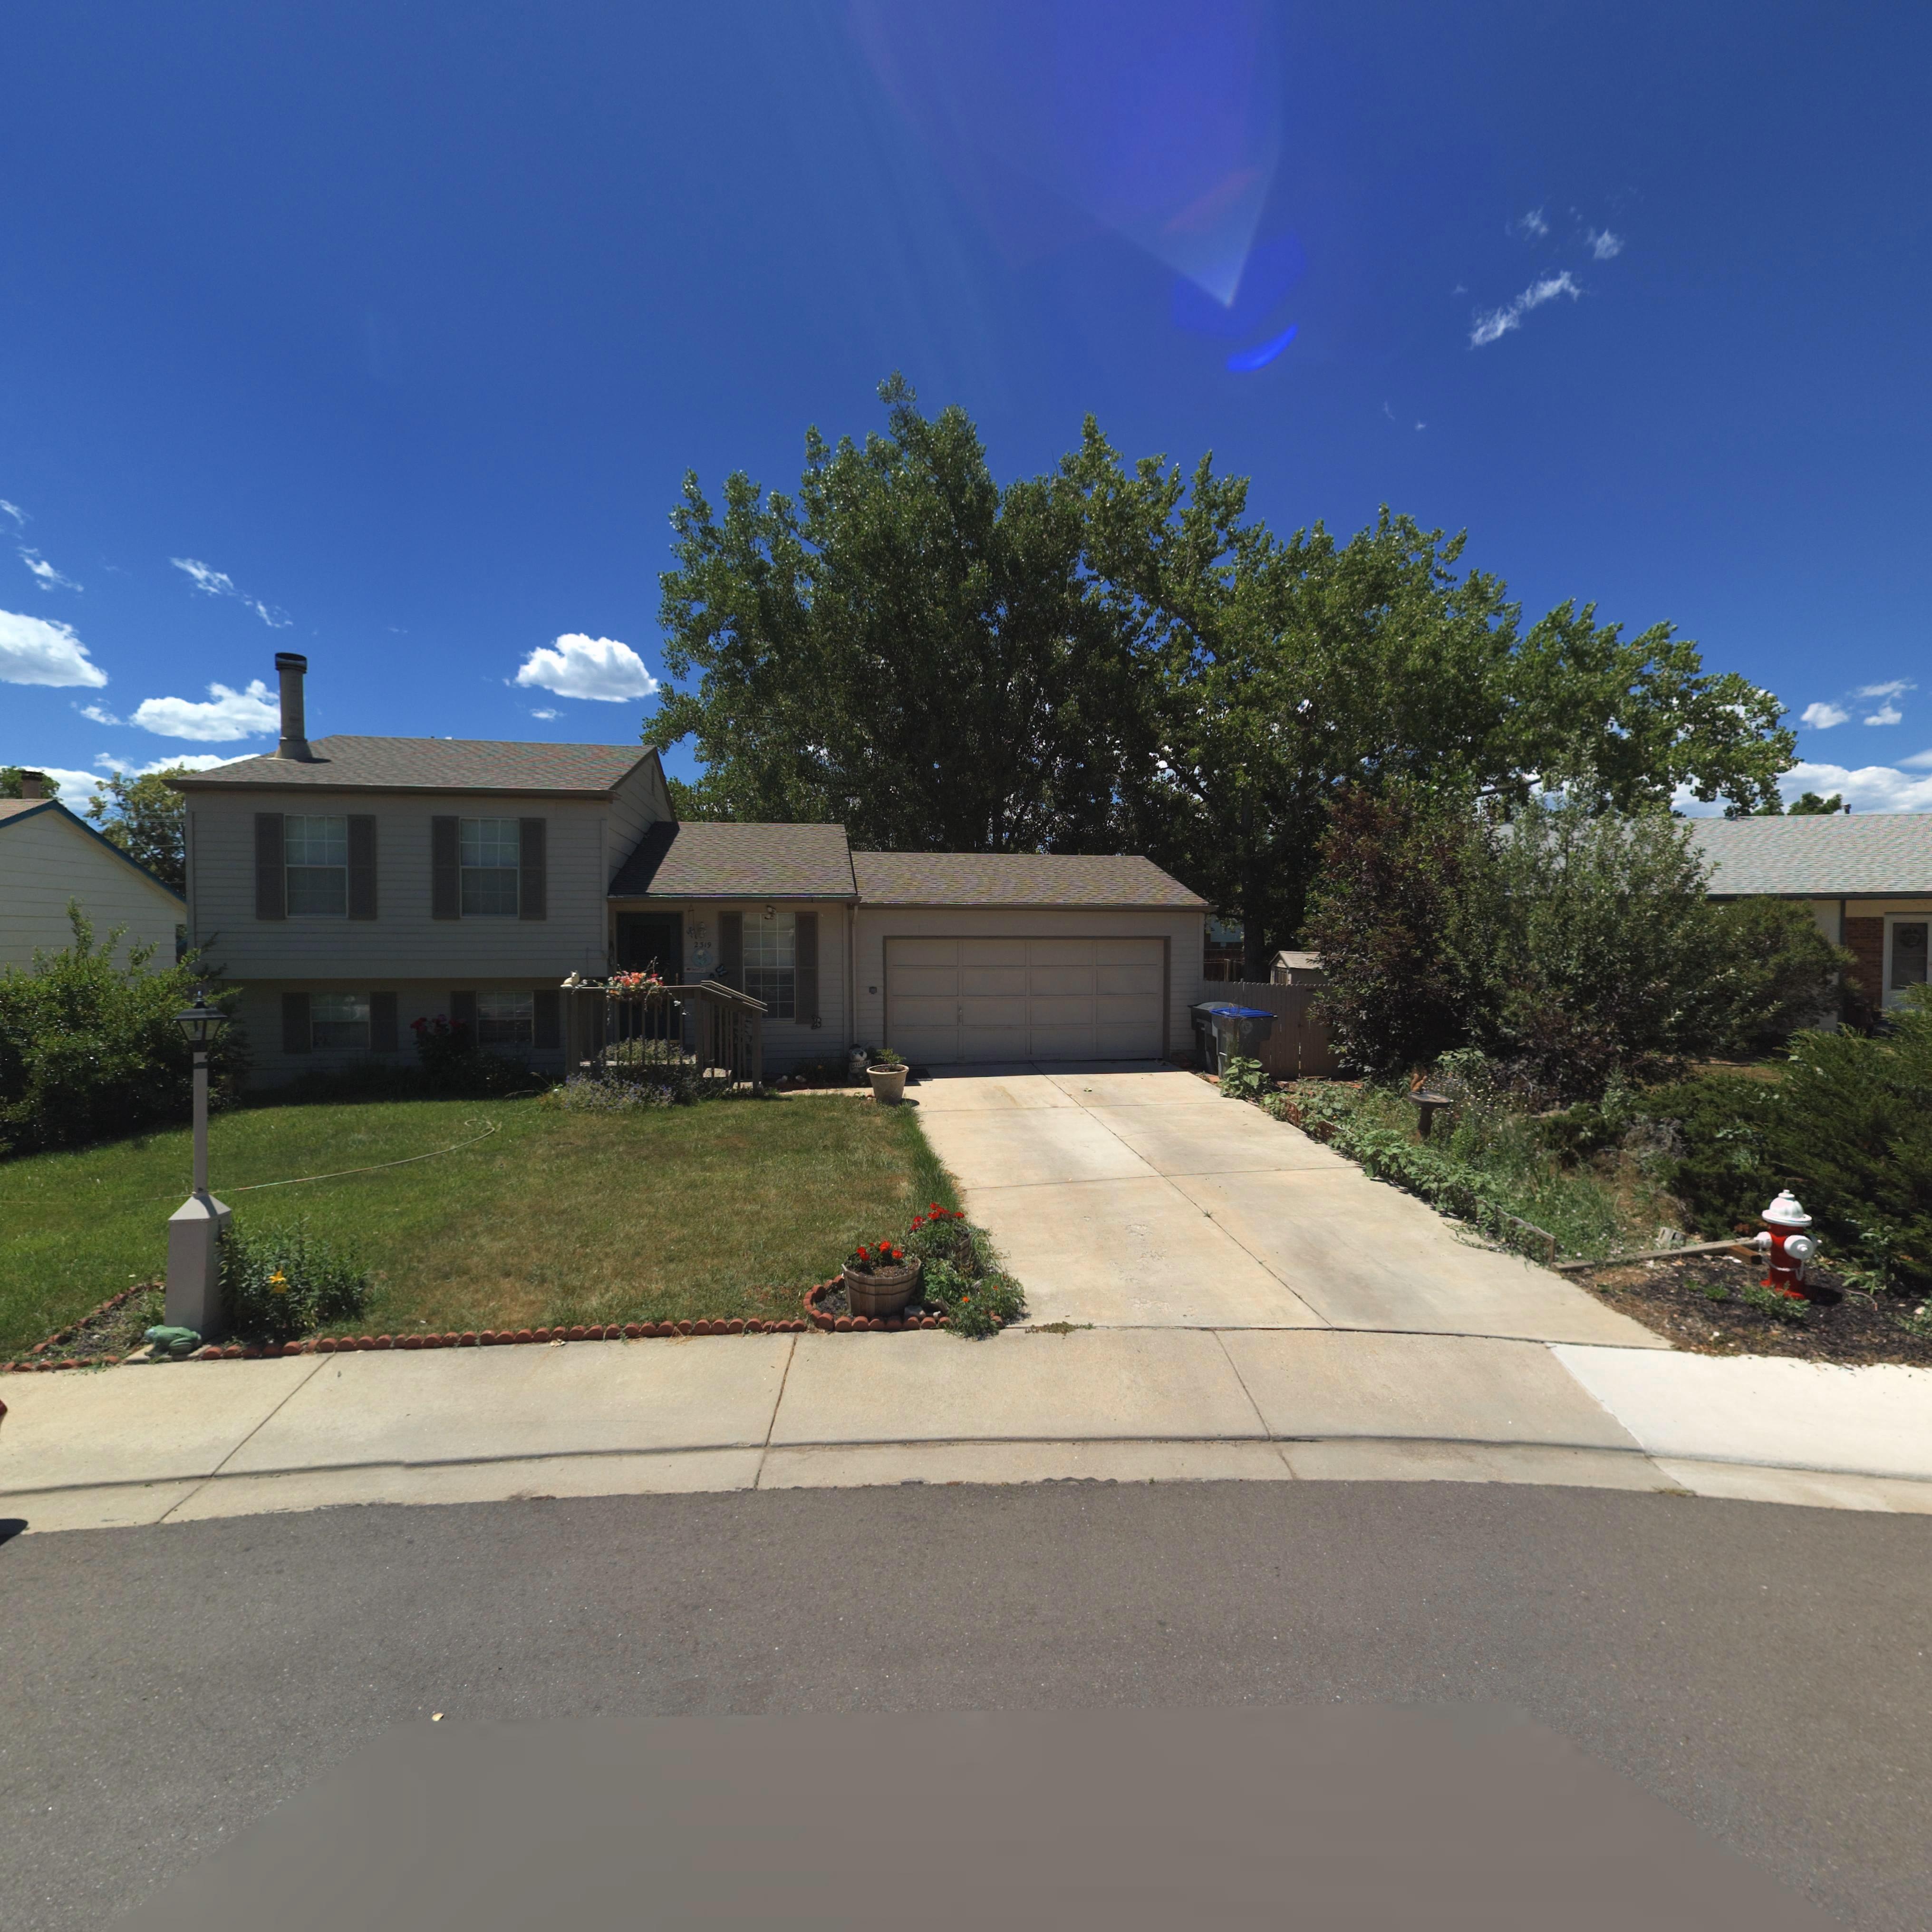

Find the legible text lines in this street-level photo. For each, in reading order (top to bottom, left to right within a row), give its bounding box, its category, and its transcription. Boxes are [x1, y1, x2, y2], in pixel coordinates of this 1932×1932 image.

[694, 941, 711, 948] StreetNumber: 2319